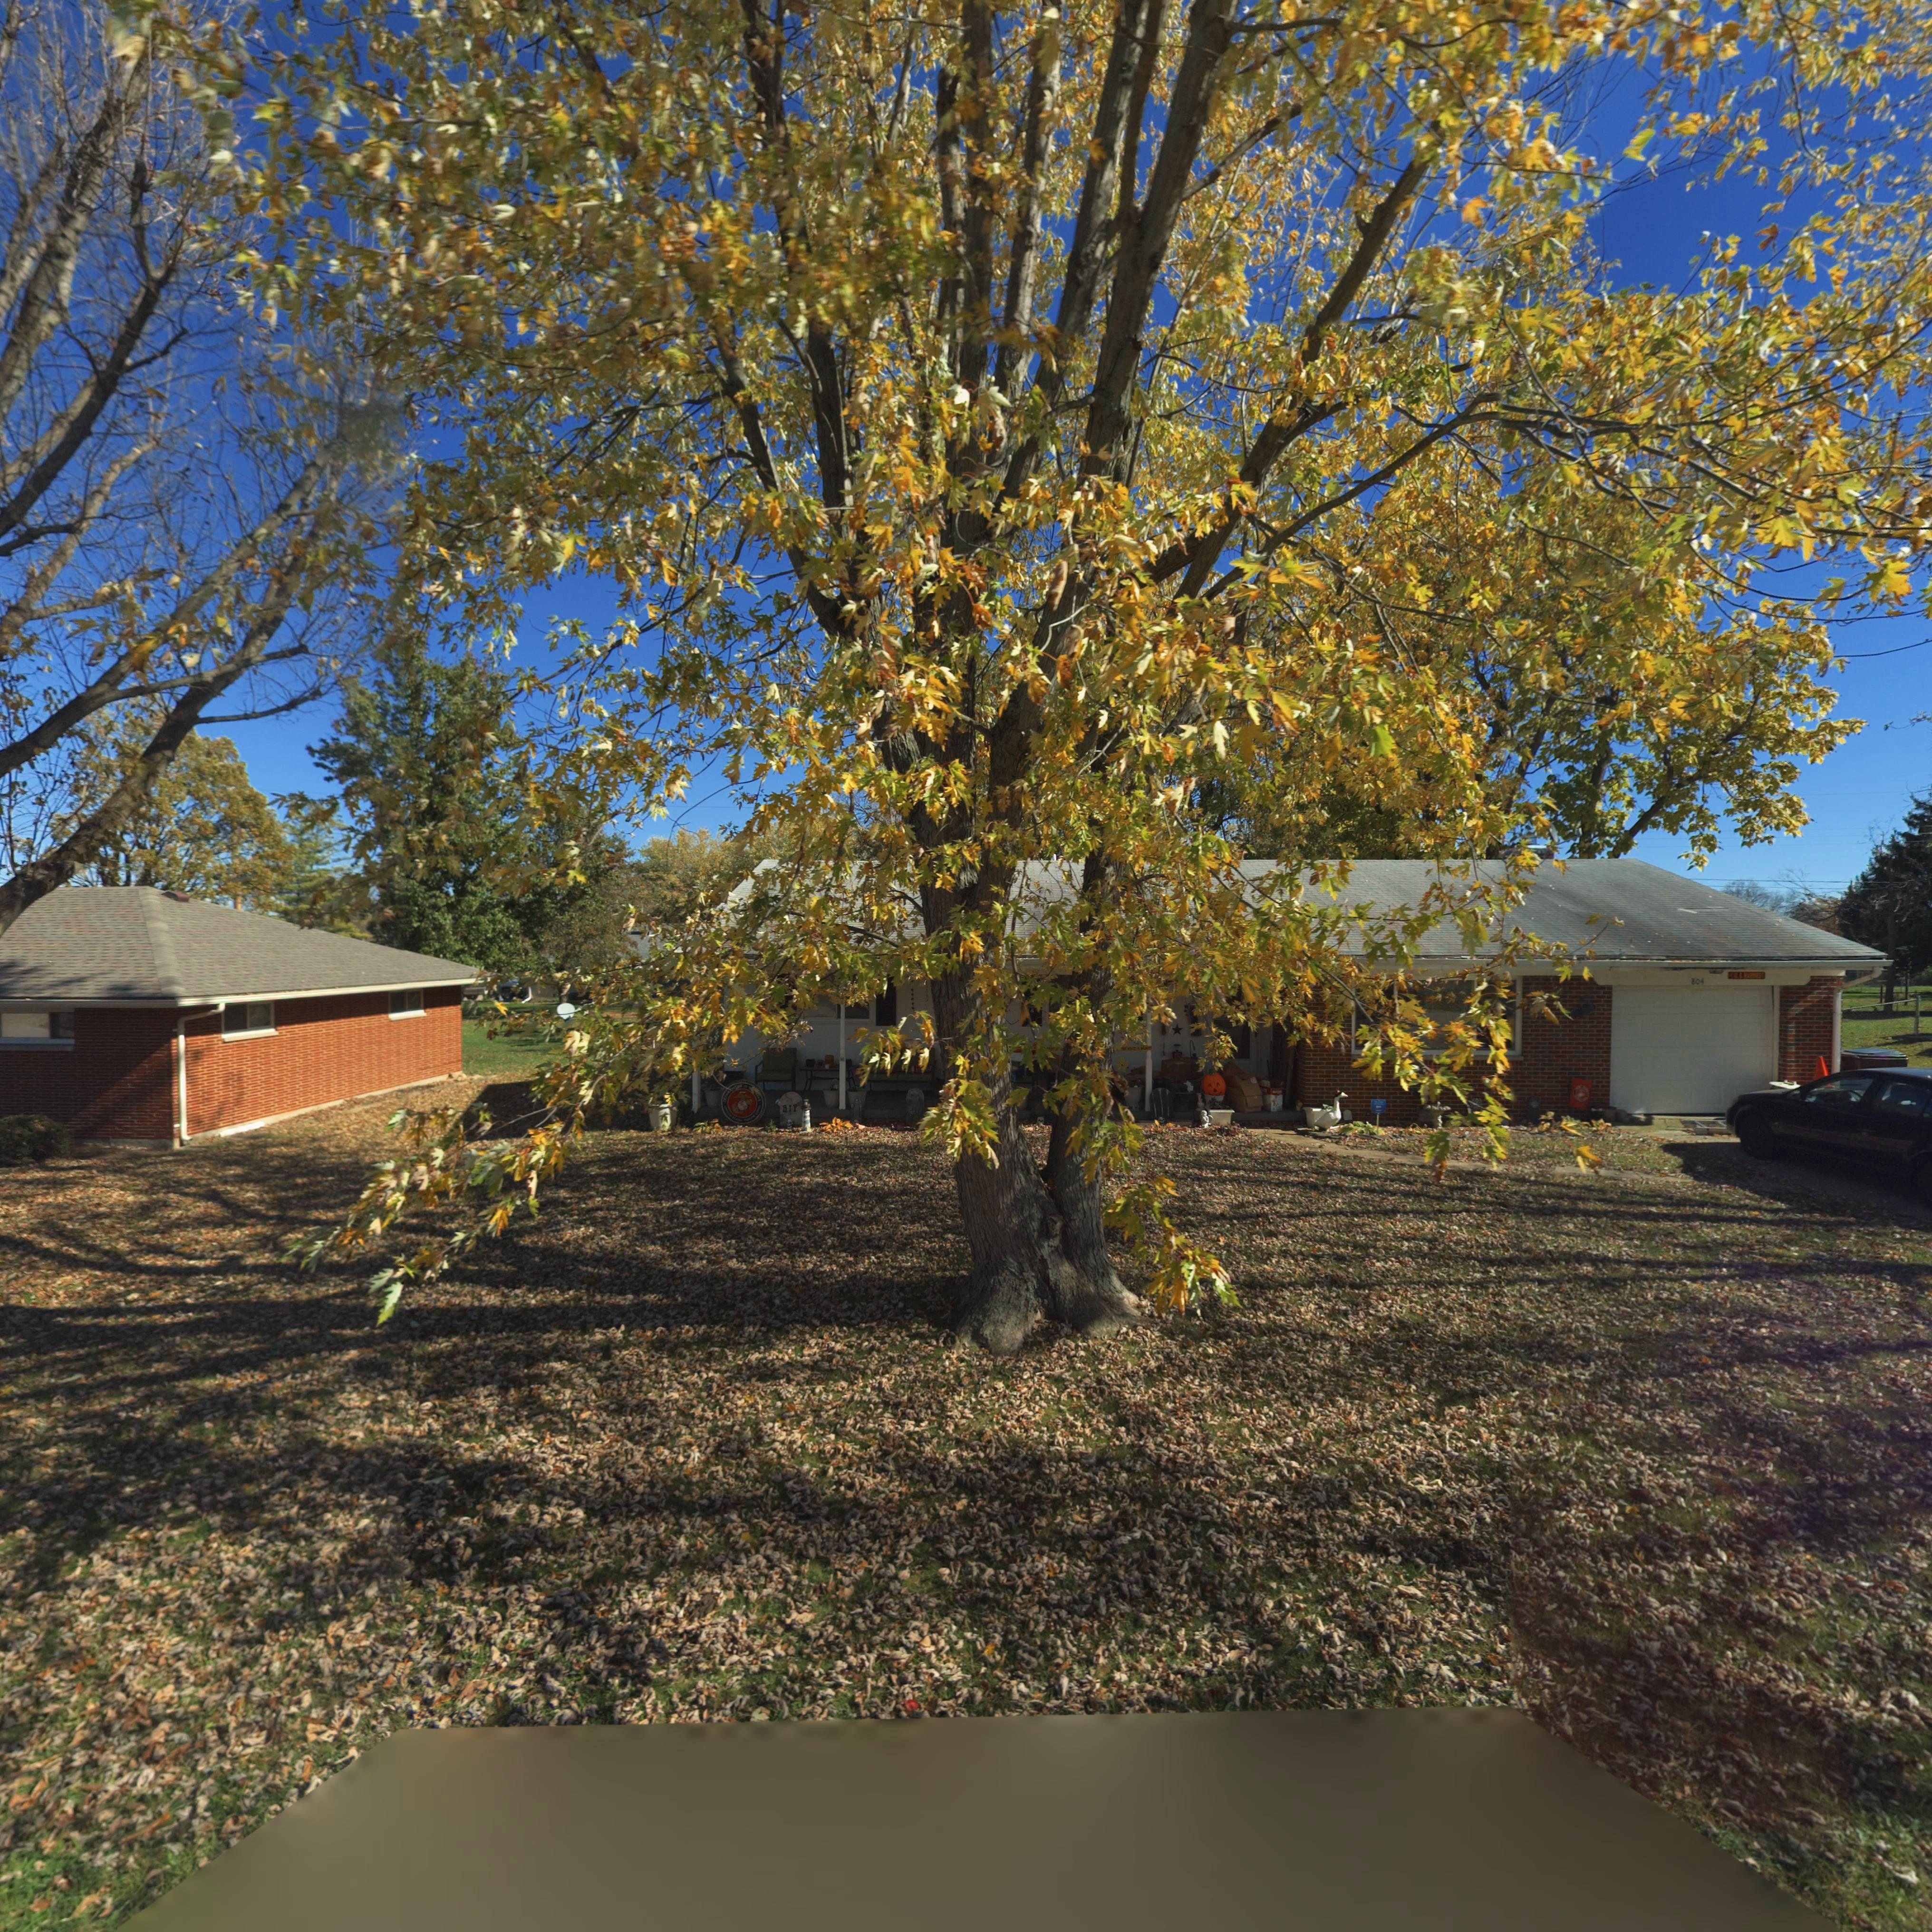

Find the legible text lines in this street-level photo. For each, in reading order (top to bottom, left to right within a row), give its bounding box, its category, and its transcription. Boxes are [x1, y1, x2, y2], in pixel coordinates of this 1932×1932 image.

[1690, 977, 1705, 986] StreetNumber: 804